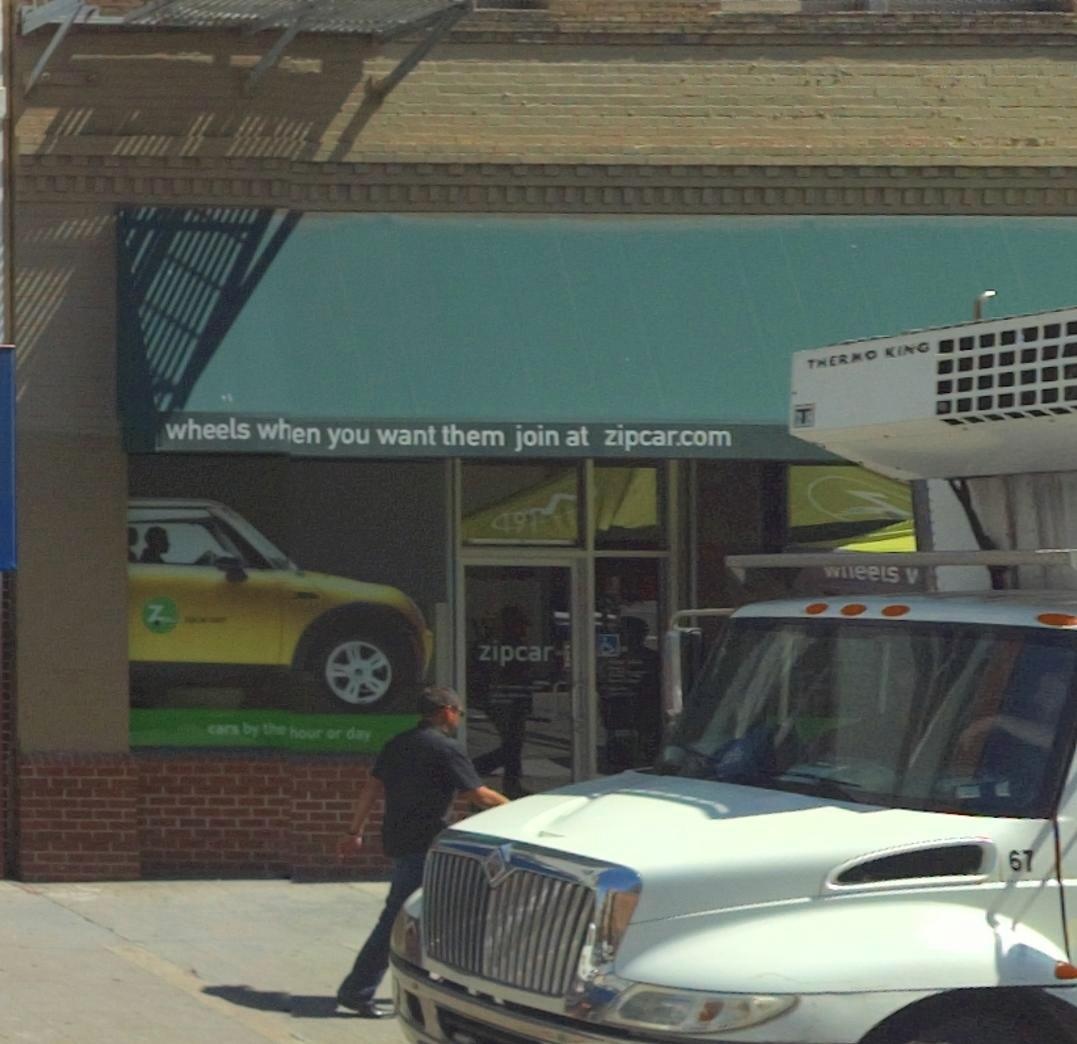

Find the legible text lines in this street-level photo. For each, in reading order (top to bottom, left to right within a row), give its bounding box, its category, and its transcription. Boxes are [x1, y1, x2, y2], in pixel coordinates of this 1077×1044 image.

[806, 338, 931, 371] None: THERMO KING
[164, 416, 736, 453] None: wheels when you want them join at zipcar.com
[501, 510, 543, 536] StreetNumber: 191
[853, 563, 903, 586] None: ee*s
[476, 637, 557, 669] BusinessName: zipcar
[206, 719, 376, 741] None: cars by the hour or day
[1007, 848, 1036, 873] None: 67